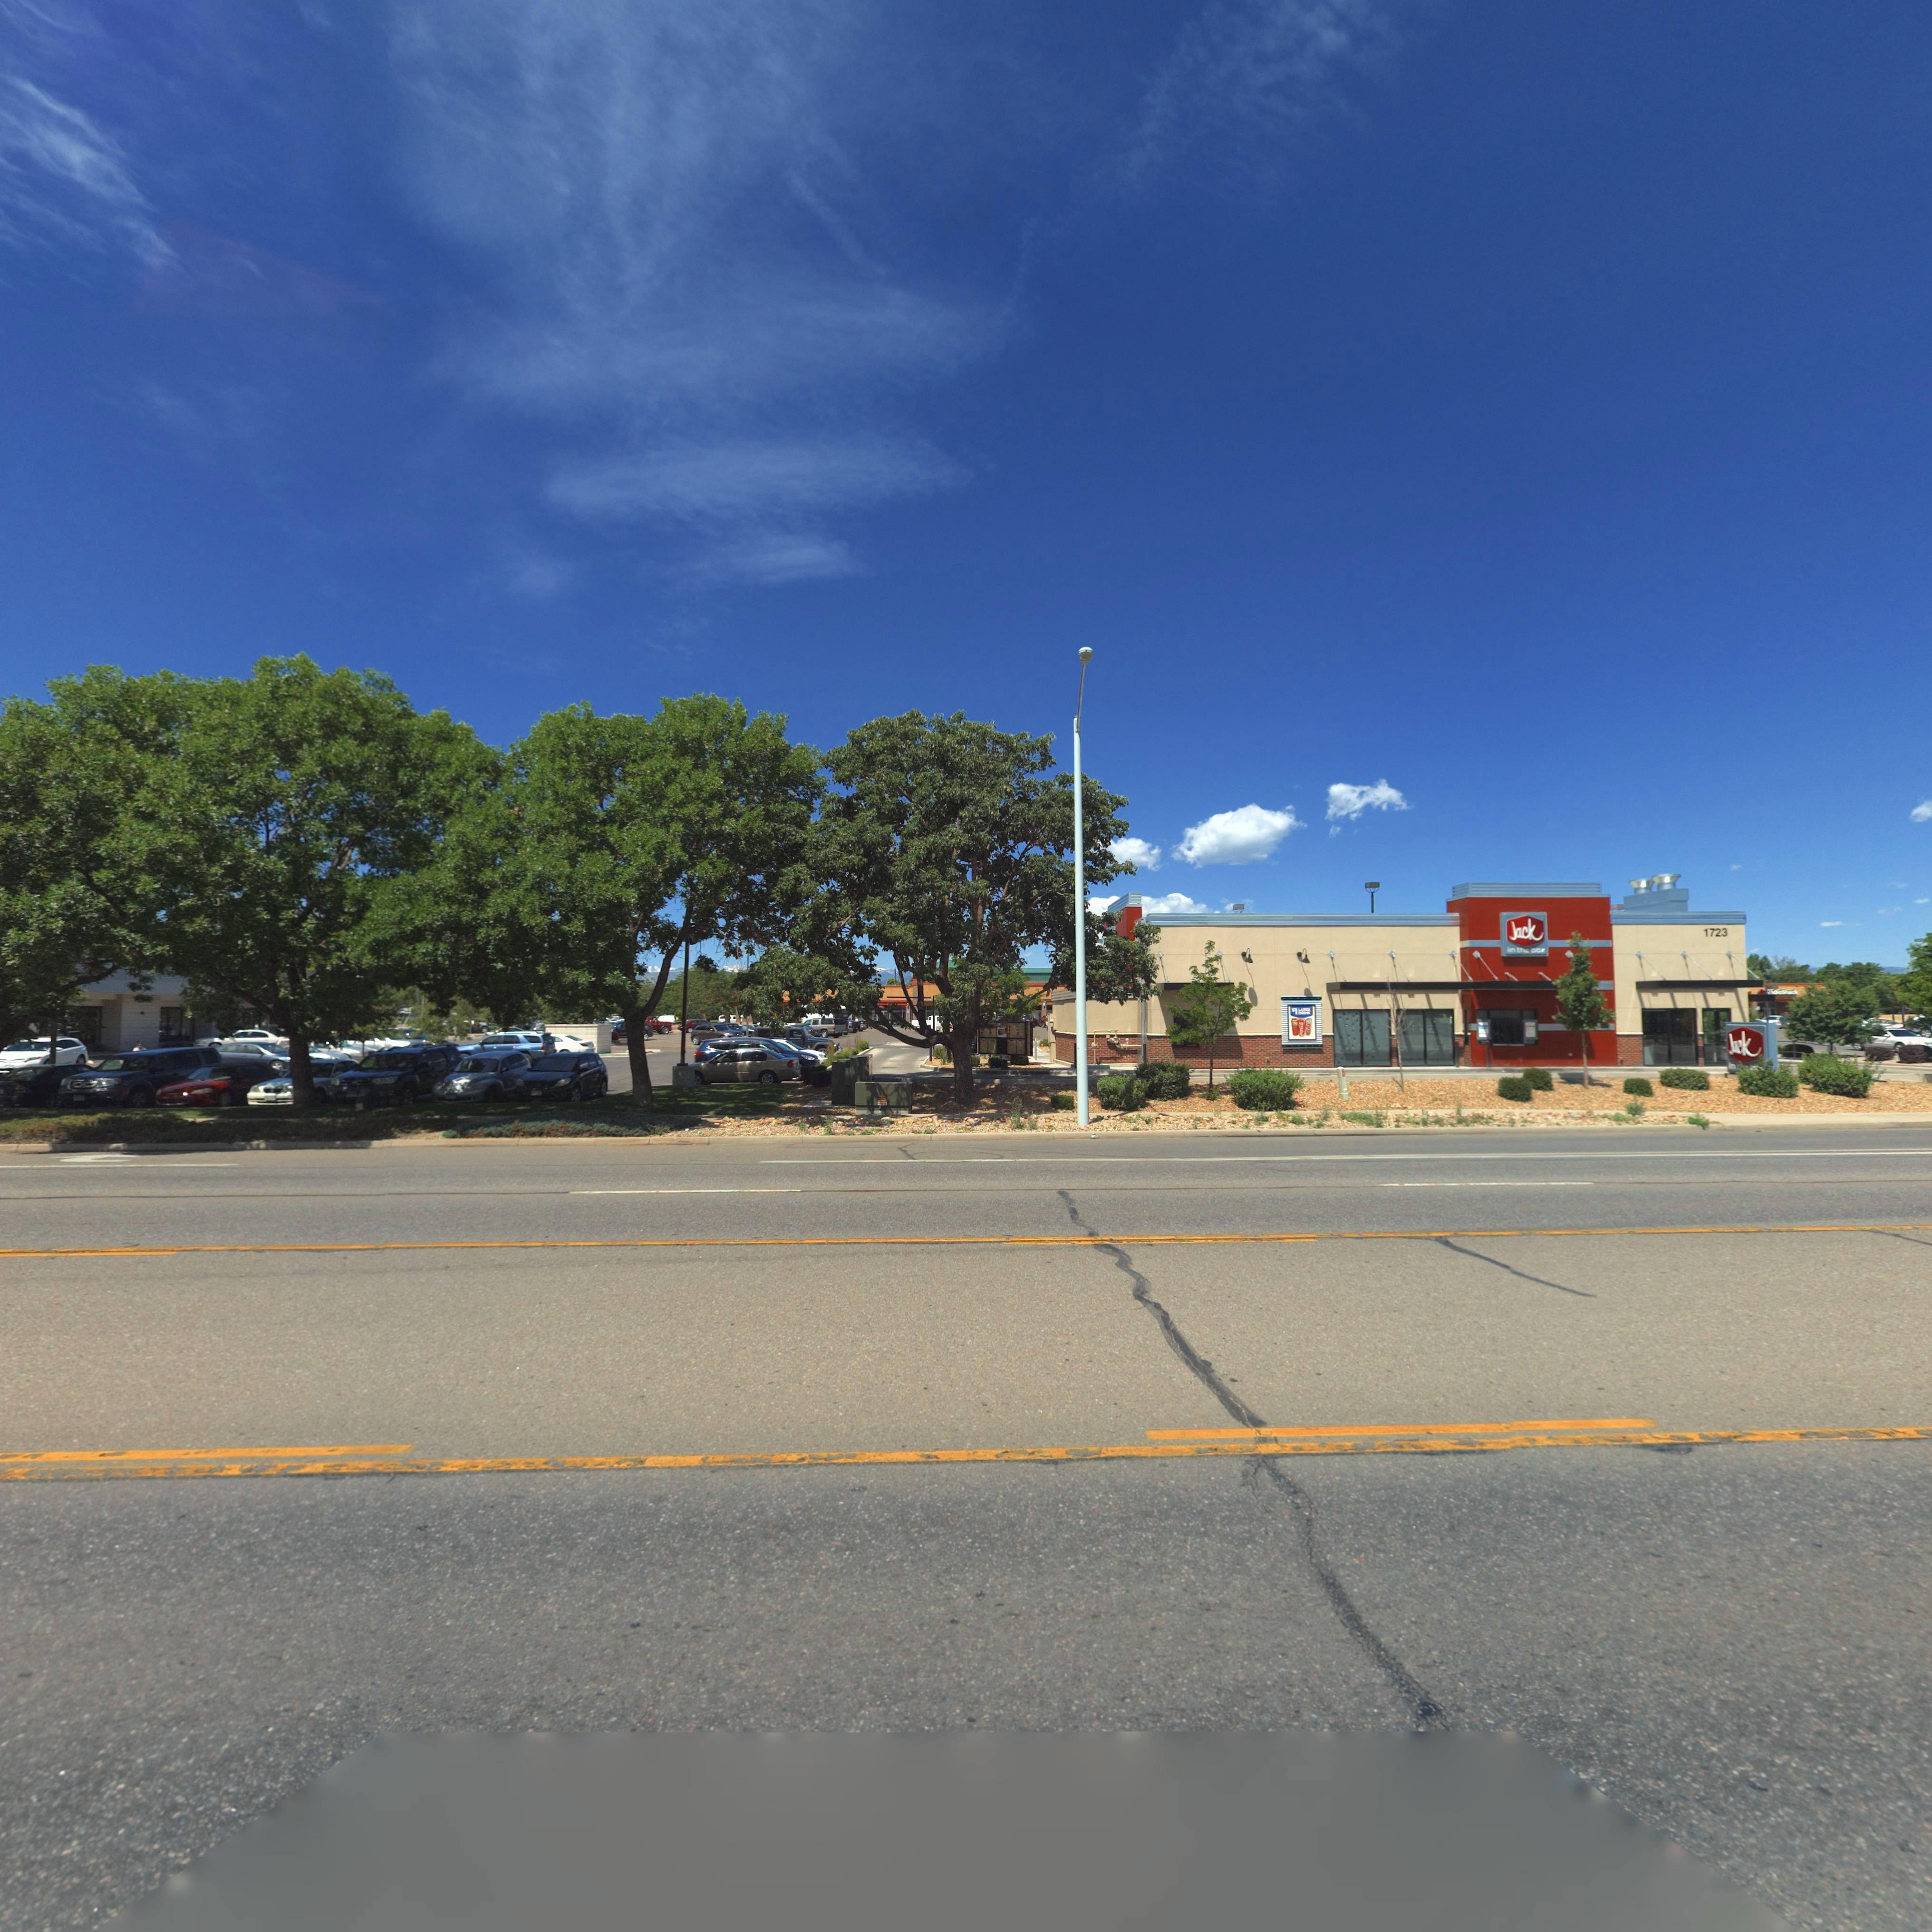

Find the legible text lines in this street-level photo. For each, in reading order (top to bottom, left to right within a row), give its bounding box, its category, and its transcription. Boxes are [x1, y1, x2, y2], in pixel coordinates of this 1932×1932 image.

[1508, 917, 1544, 941] BusinessName: Jack
[1702, 927, 1728, 937] StreetNumber: 1723
[1507, 946, 1546, 953] BusinessName: i*n *h* *ox
[1767, 989, 1798, 995] BusinessName: **di*S**ck
[1727, 1030, 1762, 1058] BusinessName: J*ck